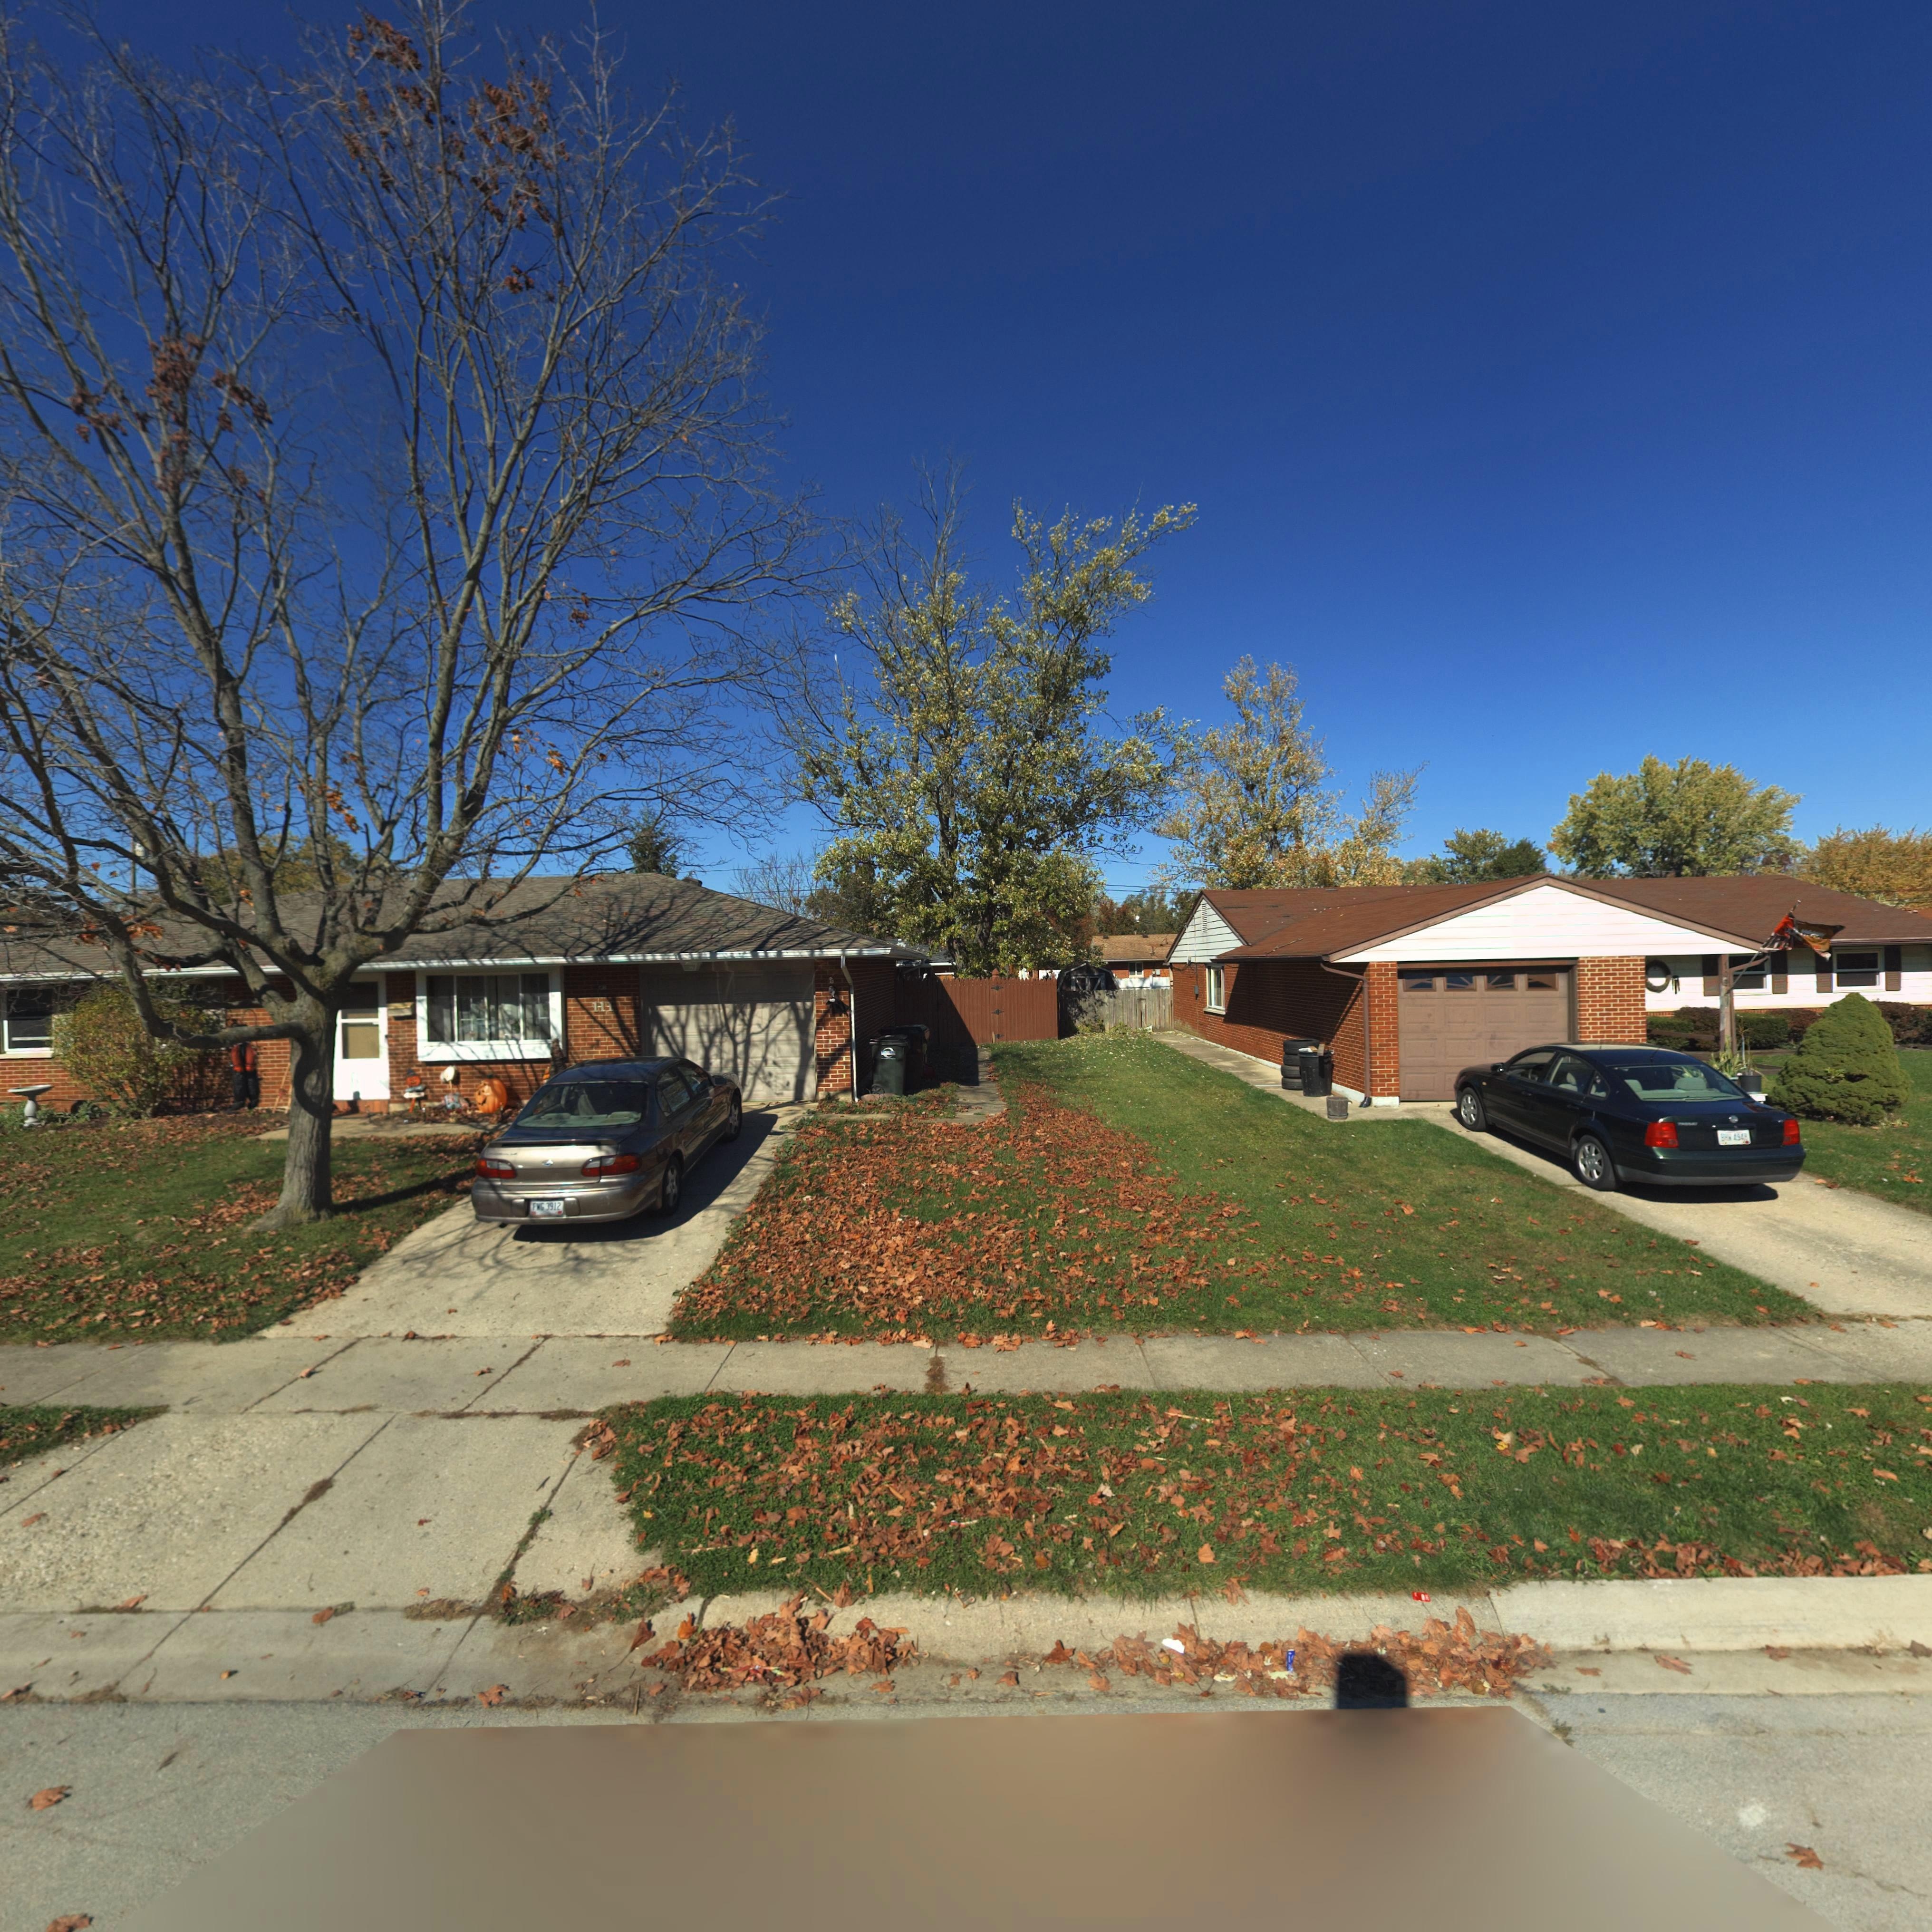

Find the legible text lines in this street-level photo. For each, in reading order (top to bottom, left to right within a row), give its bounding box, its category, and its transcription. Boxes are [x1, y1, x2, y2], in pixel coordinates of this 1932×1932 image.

[1723, 960, 1730, 987] StreetNumber: 10*
[591, 1000, 614, 1013] StreetNumber: 111